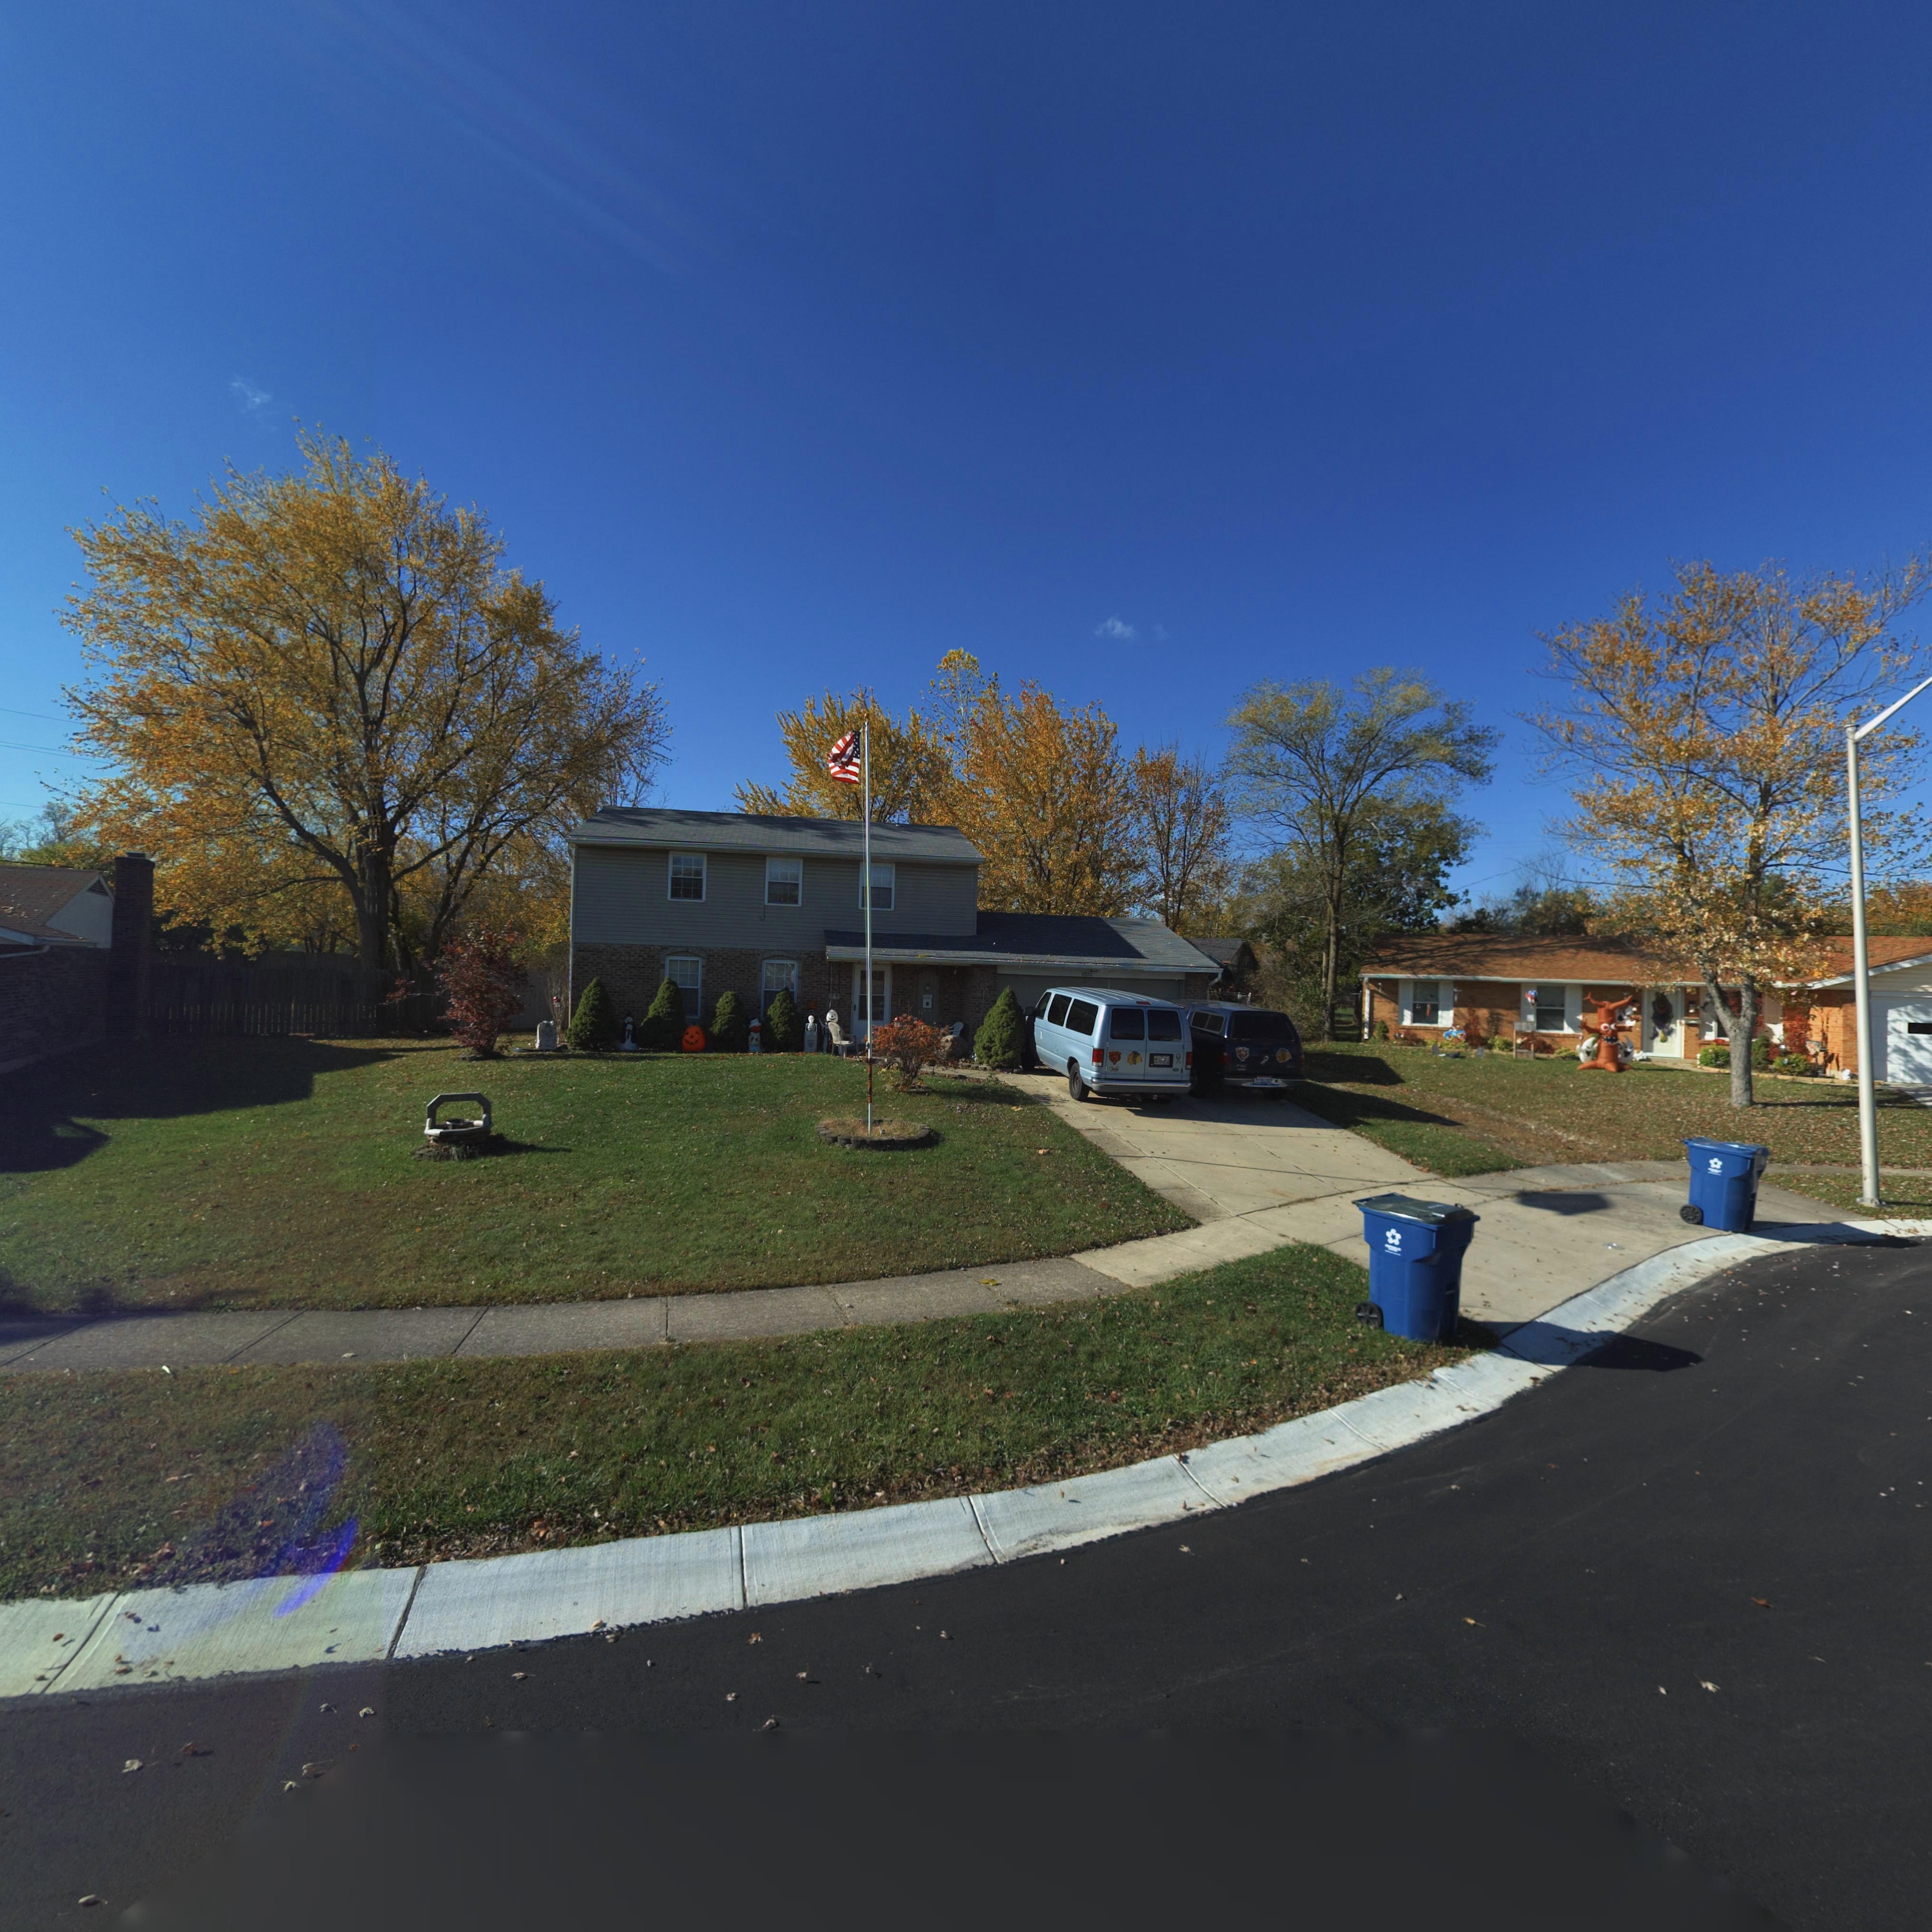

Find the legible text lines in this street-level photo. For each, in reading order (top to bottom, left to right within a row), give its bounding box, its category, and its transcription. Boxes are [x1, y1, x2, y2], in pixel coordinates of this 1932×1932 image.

[1081, 971, 1093, 977] StreetNumber: 6920